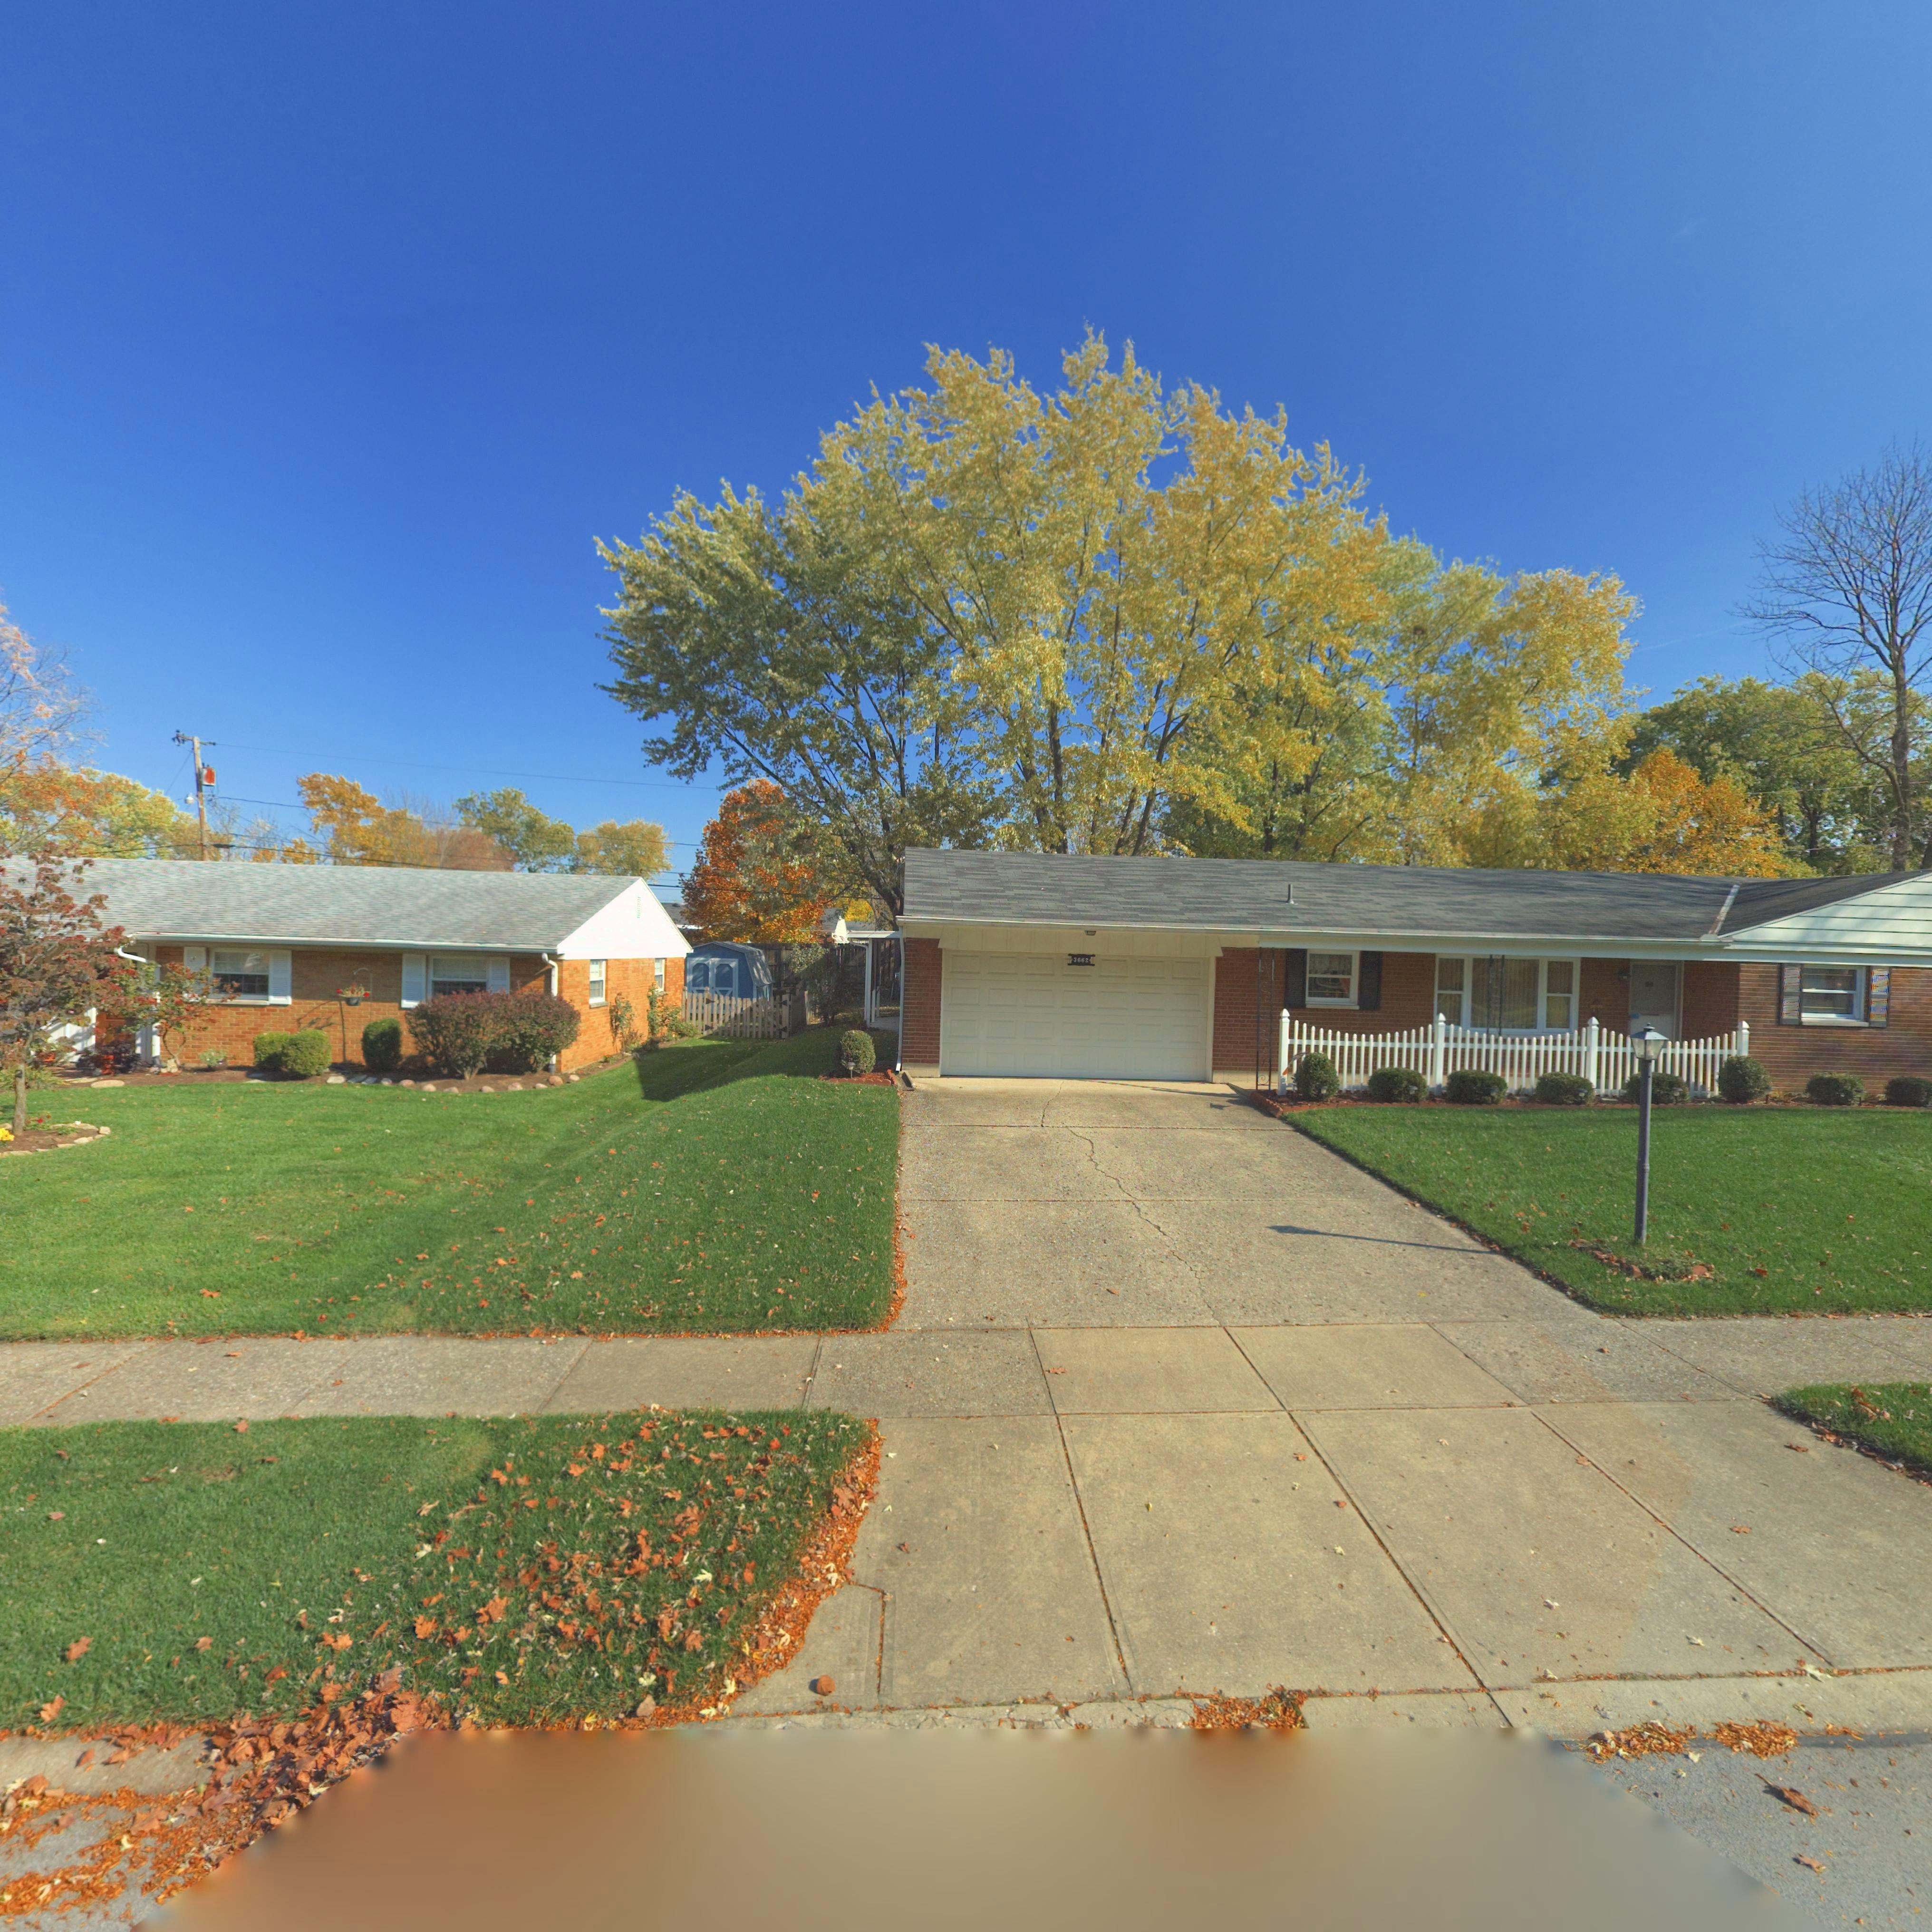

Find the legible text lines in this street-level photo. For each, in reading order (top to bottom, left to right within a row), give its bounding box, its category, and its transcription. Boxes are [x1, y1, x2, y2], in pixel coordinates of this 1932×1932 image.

[1072, 956, 1089, 964] StreetNumber: 3662